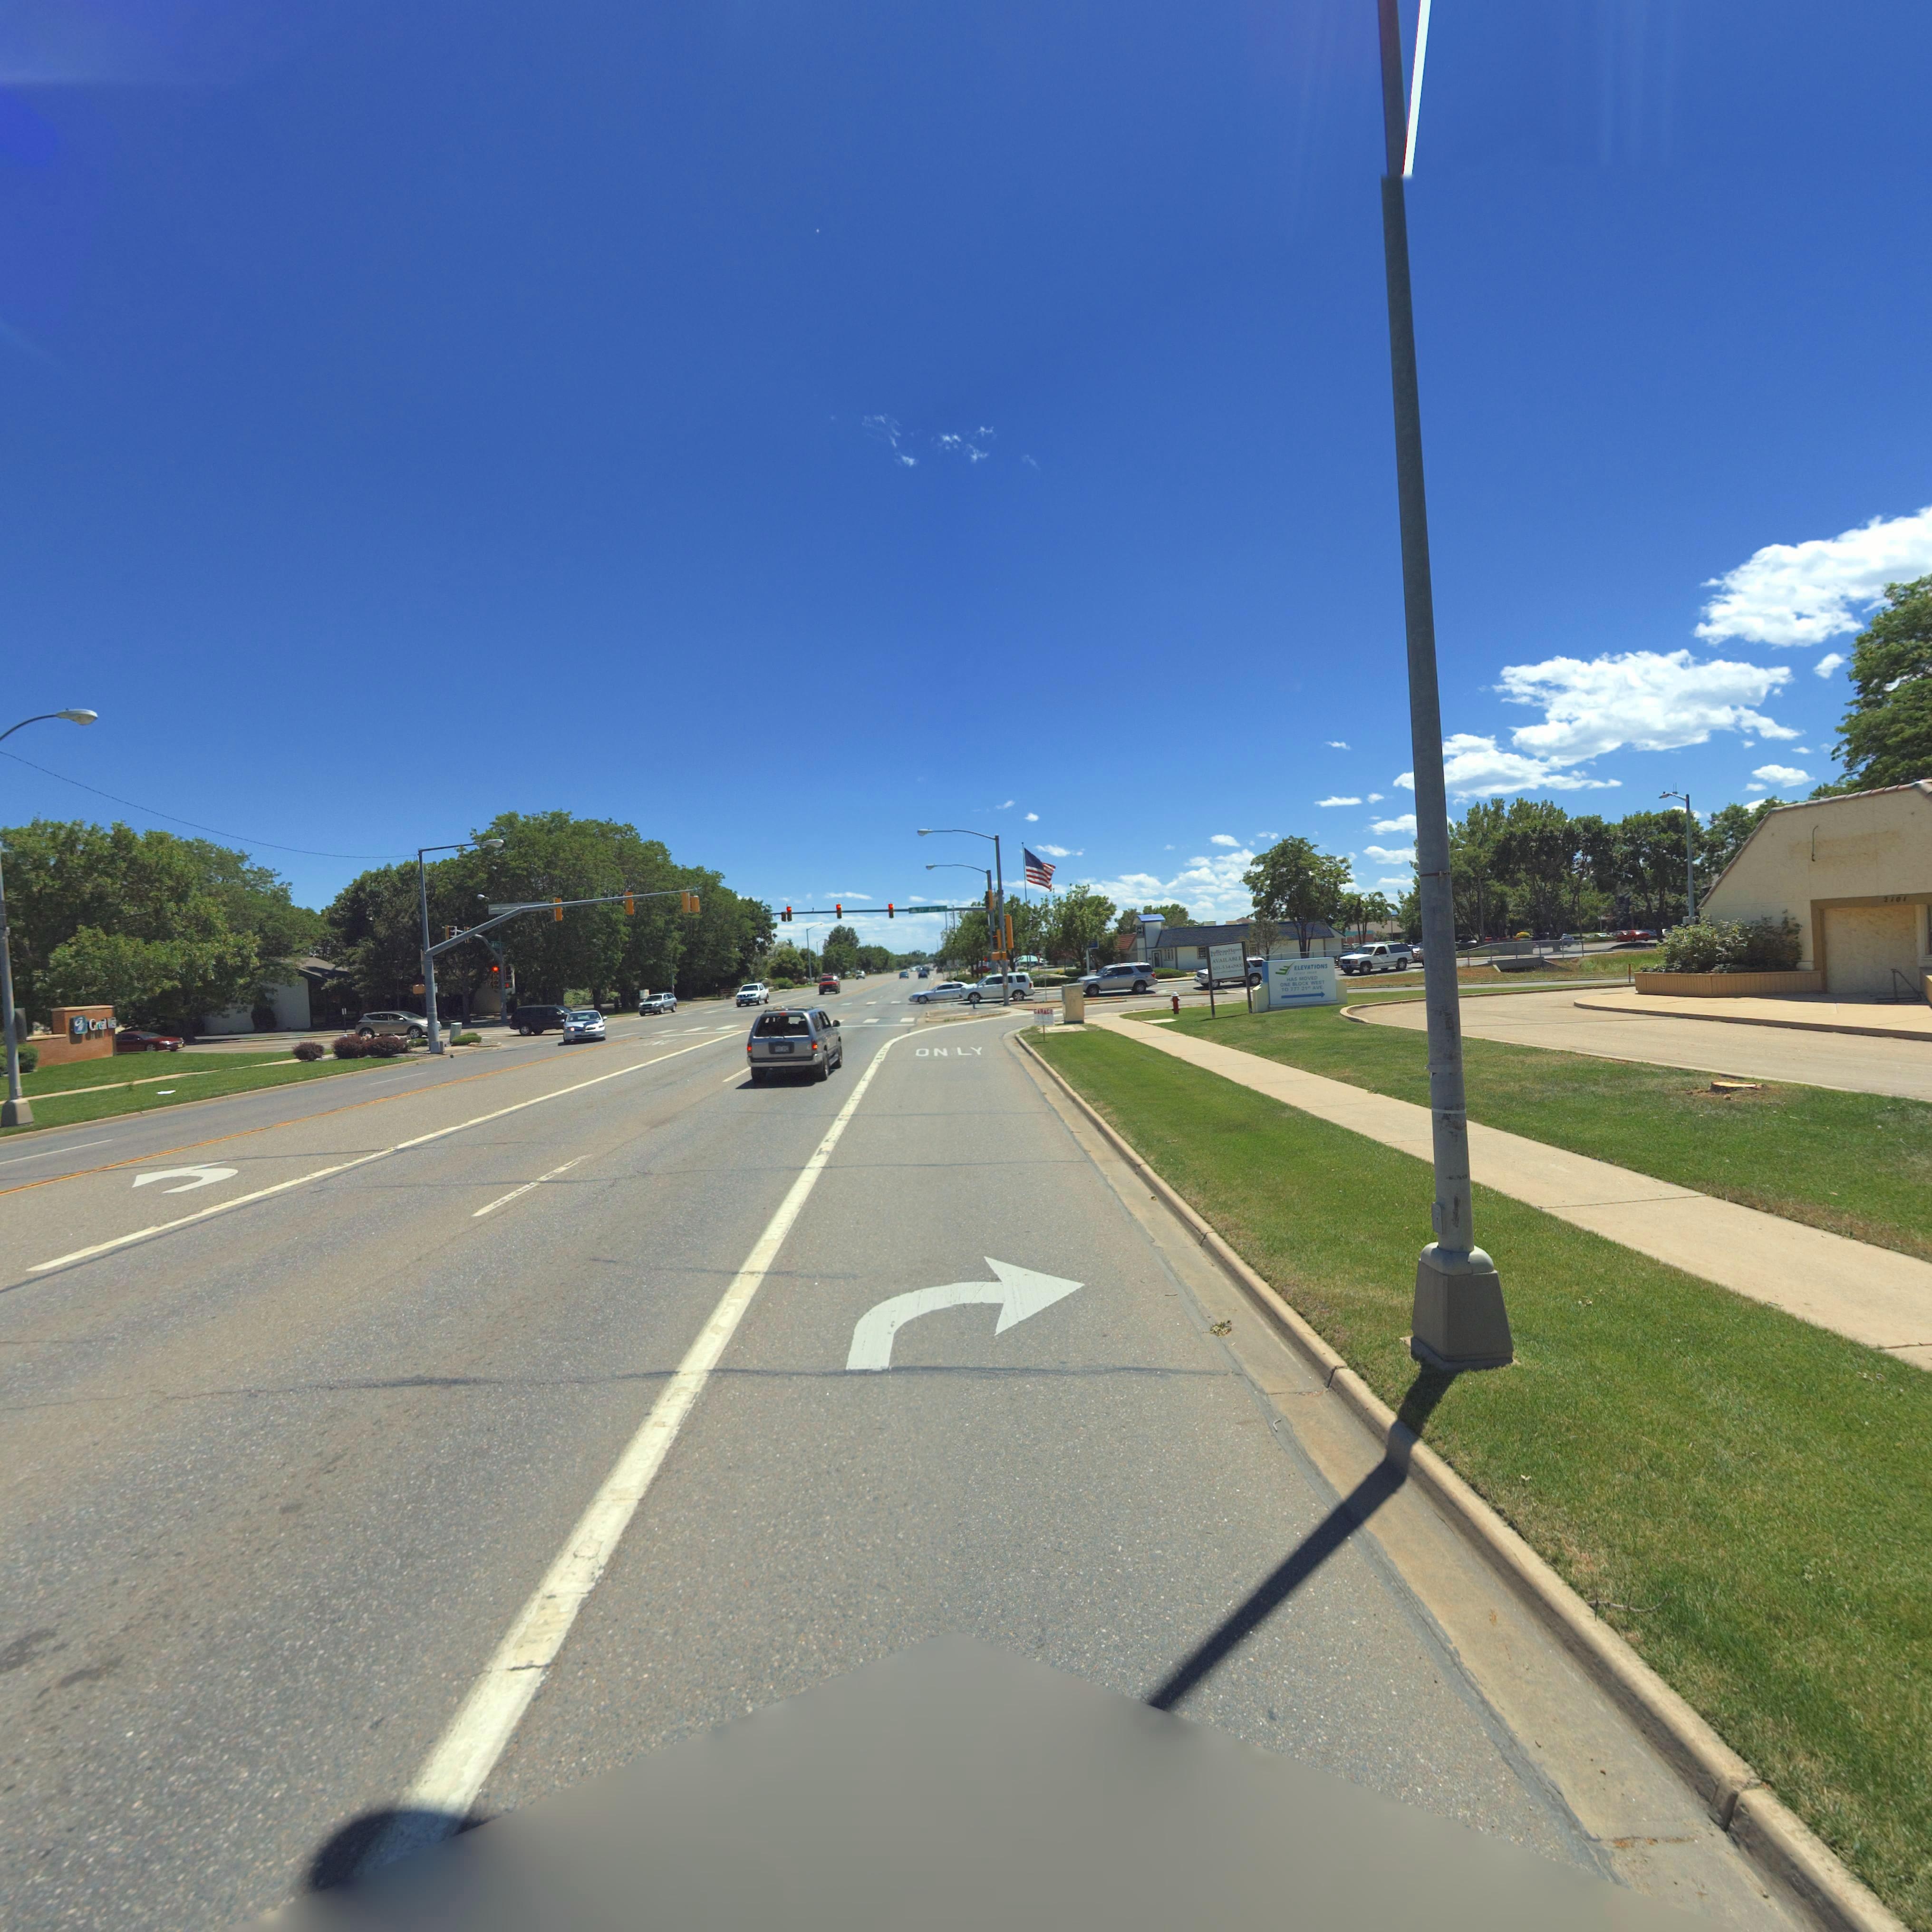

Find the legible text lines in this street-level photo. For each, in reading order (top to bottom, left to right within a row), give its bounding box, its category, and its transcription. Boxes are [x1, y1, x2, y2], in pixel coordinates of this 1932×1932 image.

[1882, 895, 1907, 902] StreetNumber: 2101
[918, 907, 938, 912] StreetName: 21** A**
[74, 1016, 83, 1026] BusinessName: G
[88, 1016, 117, 1031] BusinessName: Gr*a* ****